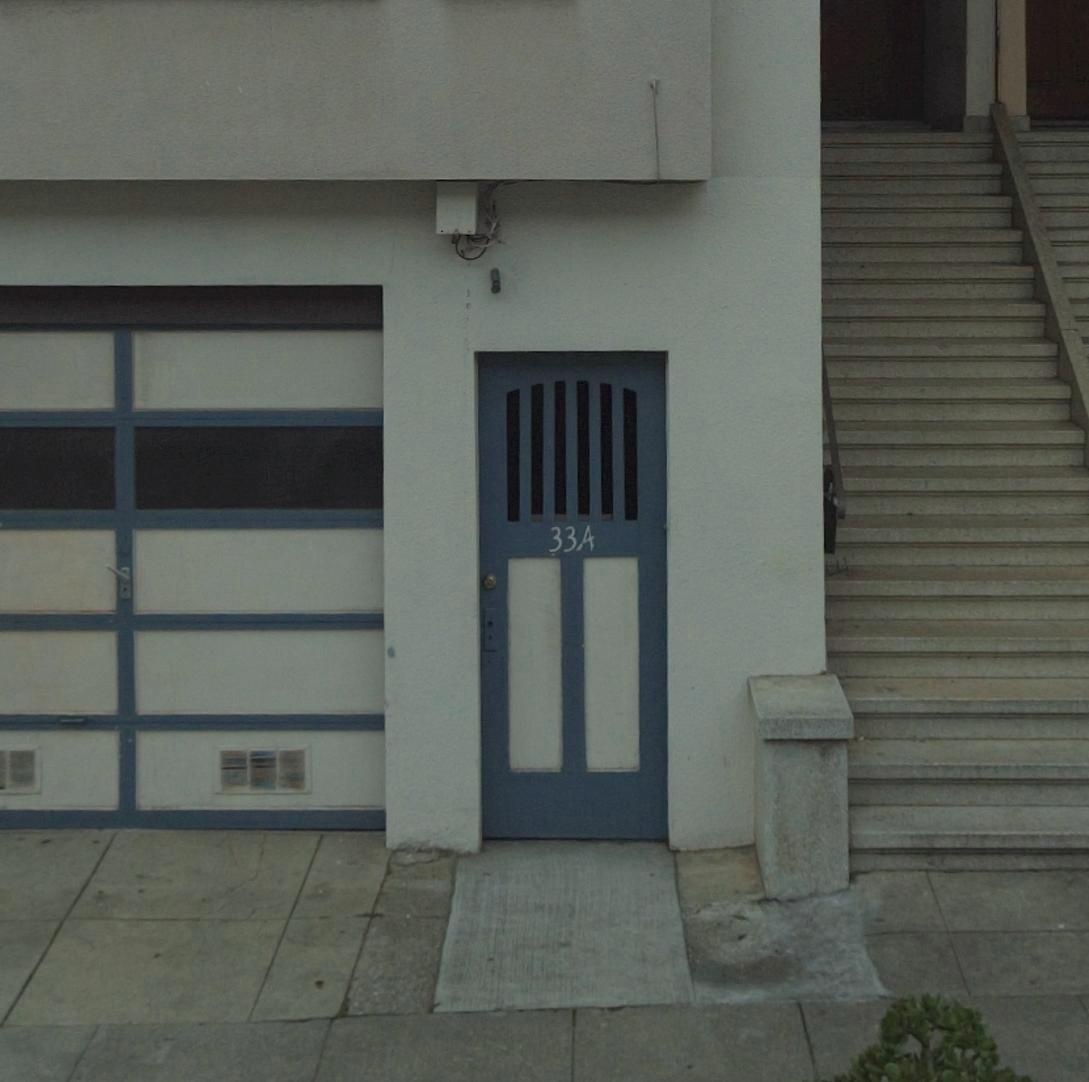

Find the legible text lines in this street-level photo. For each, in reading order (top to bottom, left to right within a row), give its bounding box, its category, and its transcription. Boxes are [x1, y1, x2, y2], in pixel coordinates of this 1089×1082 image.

[547, 523, 597, 554] StreetNumber: 33A